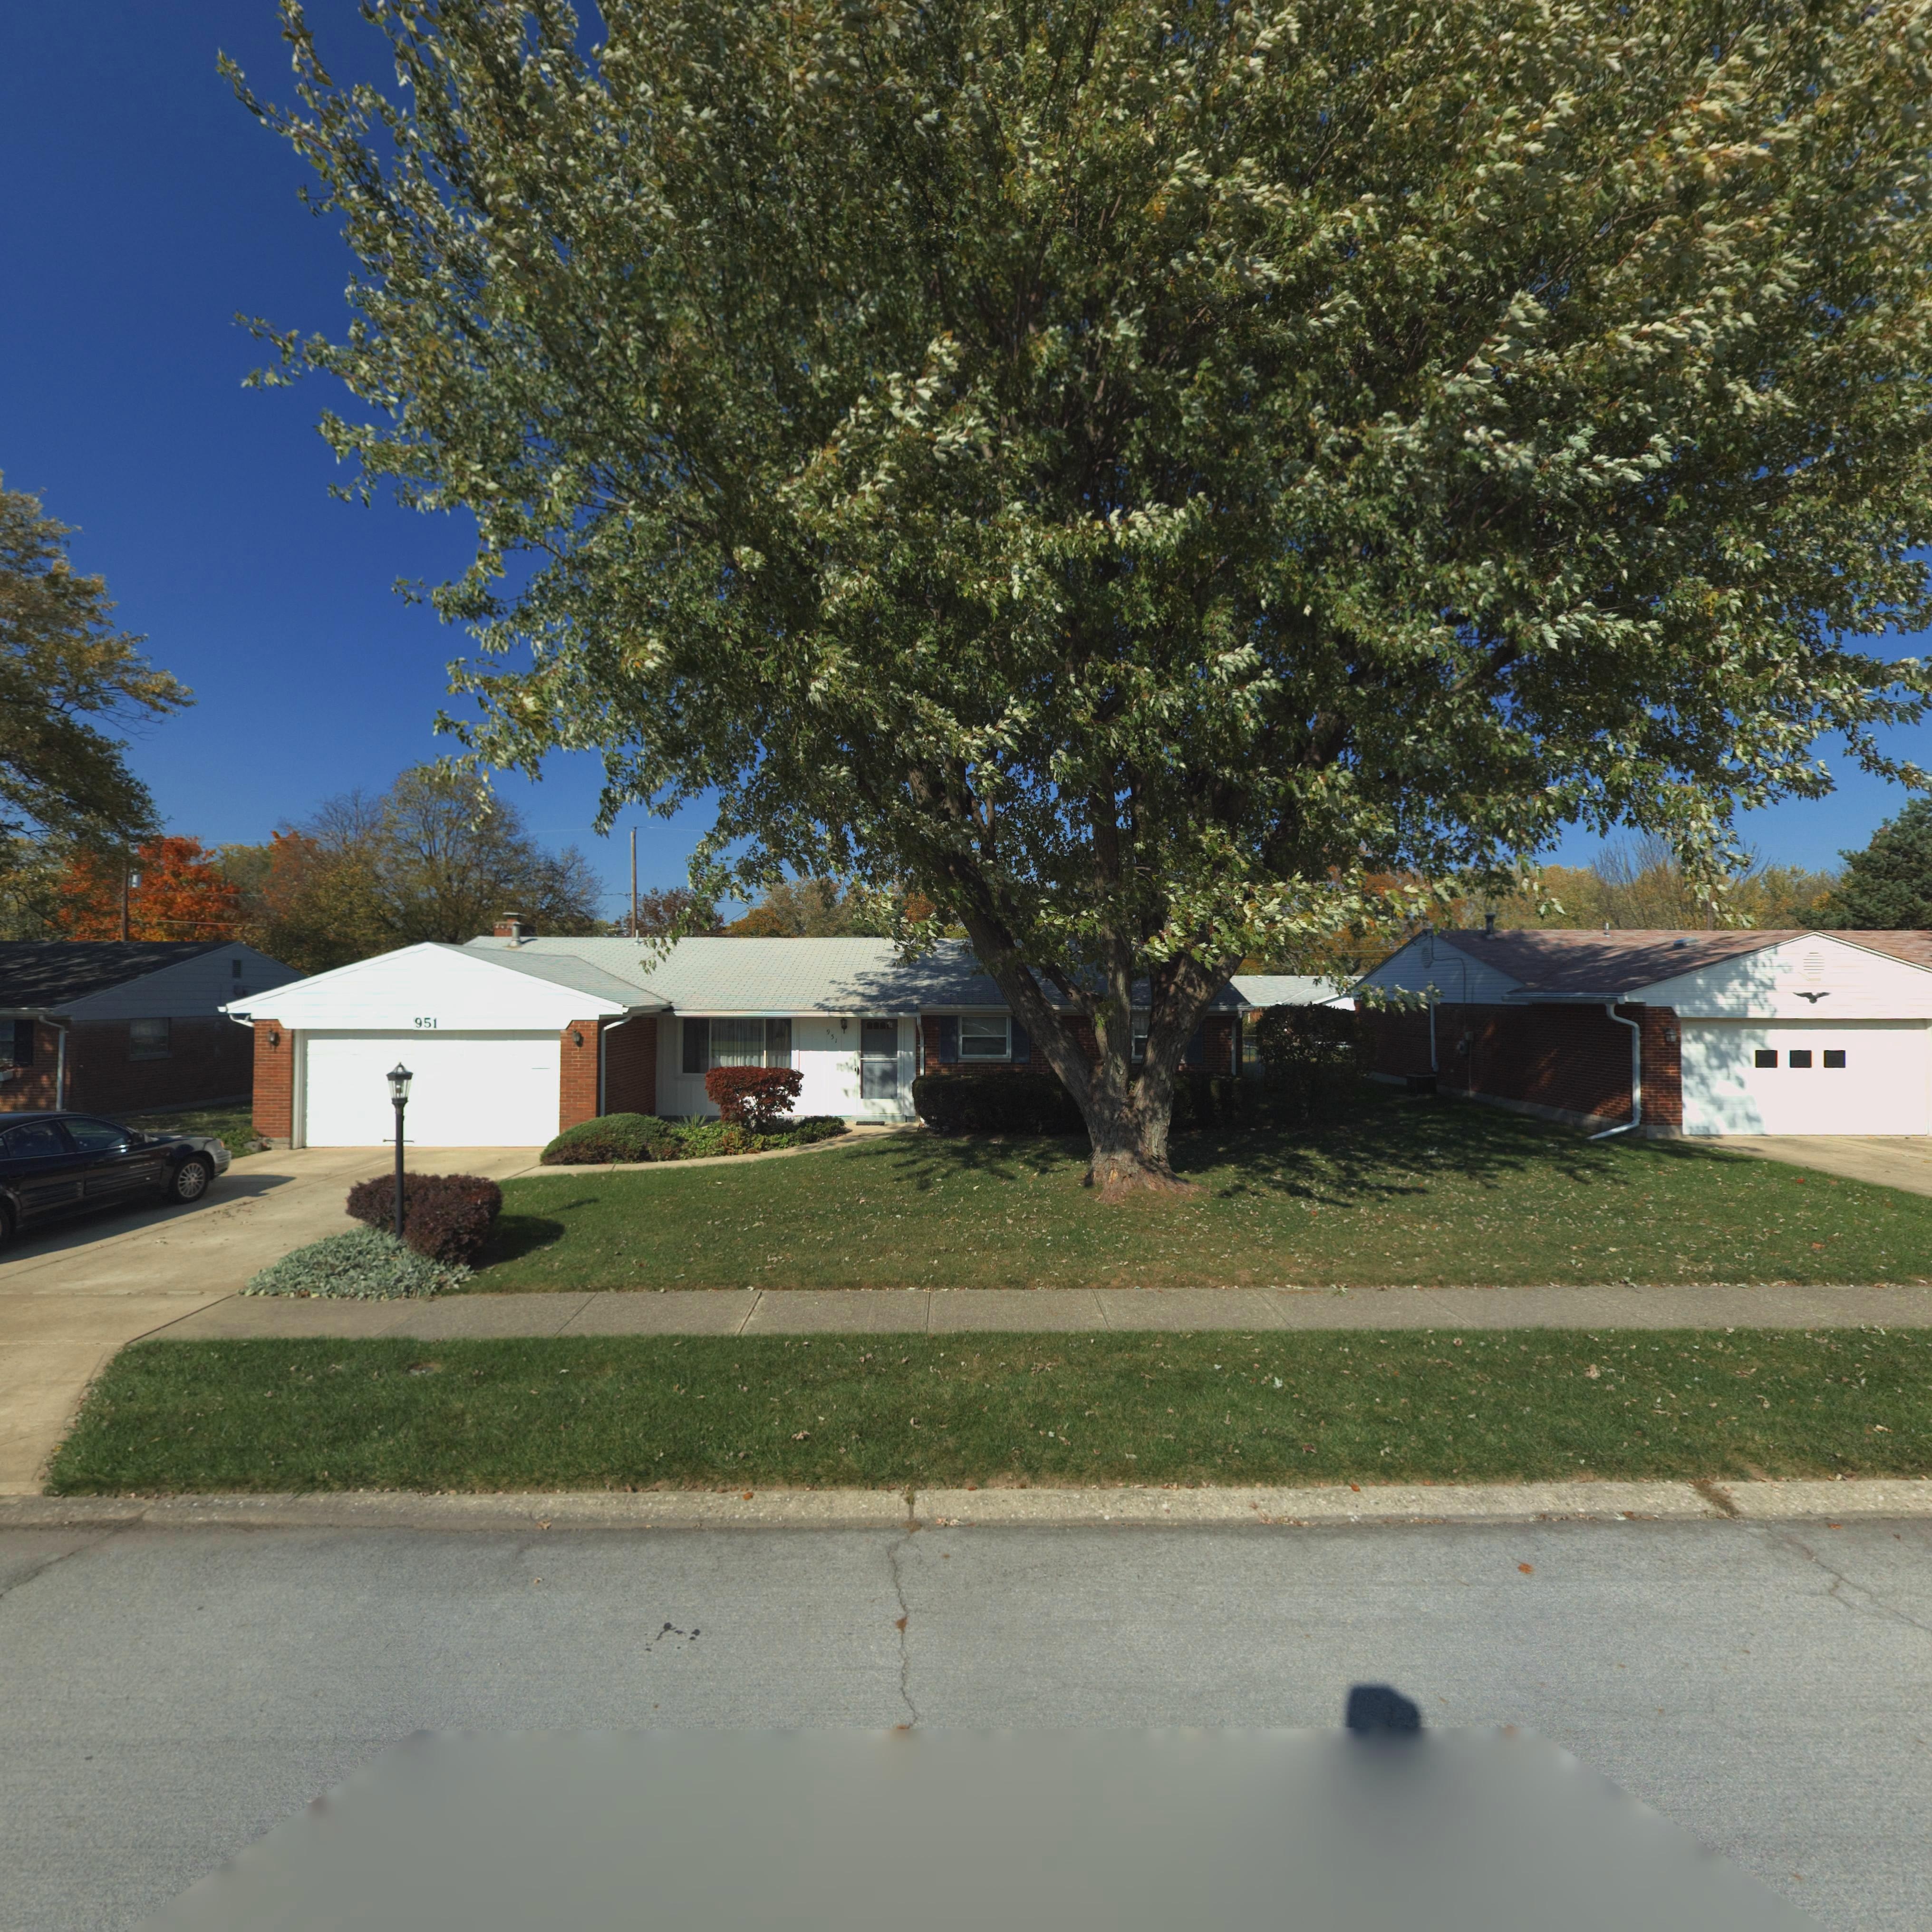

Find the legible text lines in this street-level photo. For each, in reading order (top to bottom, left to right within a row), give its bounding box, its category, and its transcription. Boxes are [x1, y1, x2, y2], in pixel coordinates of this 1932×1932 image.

[414, 1016, 438, 1029] StreetNumber: 951
[826, 1028, 839, 1044] StreetNumber: 951